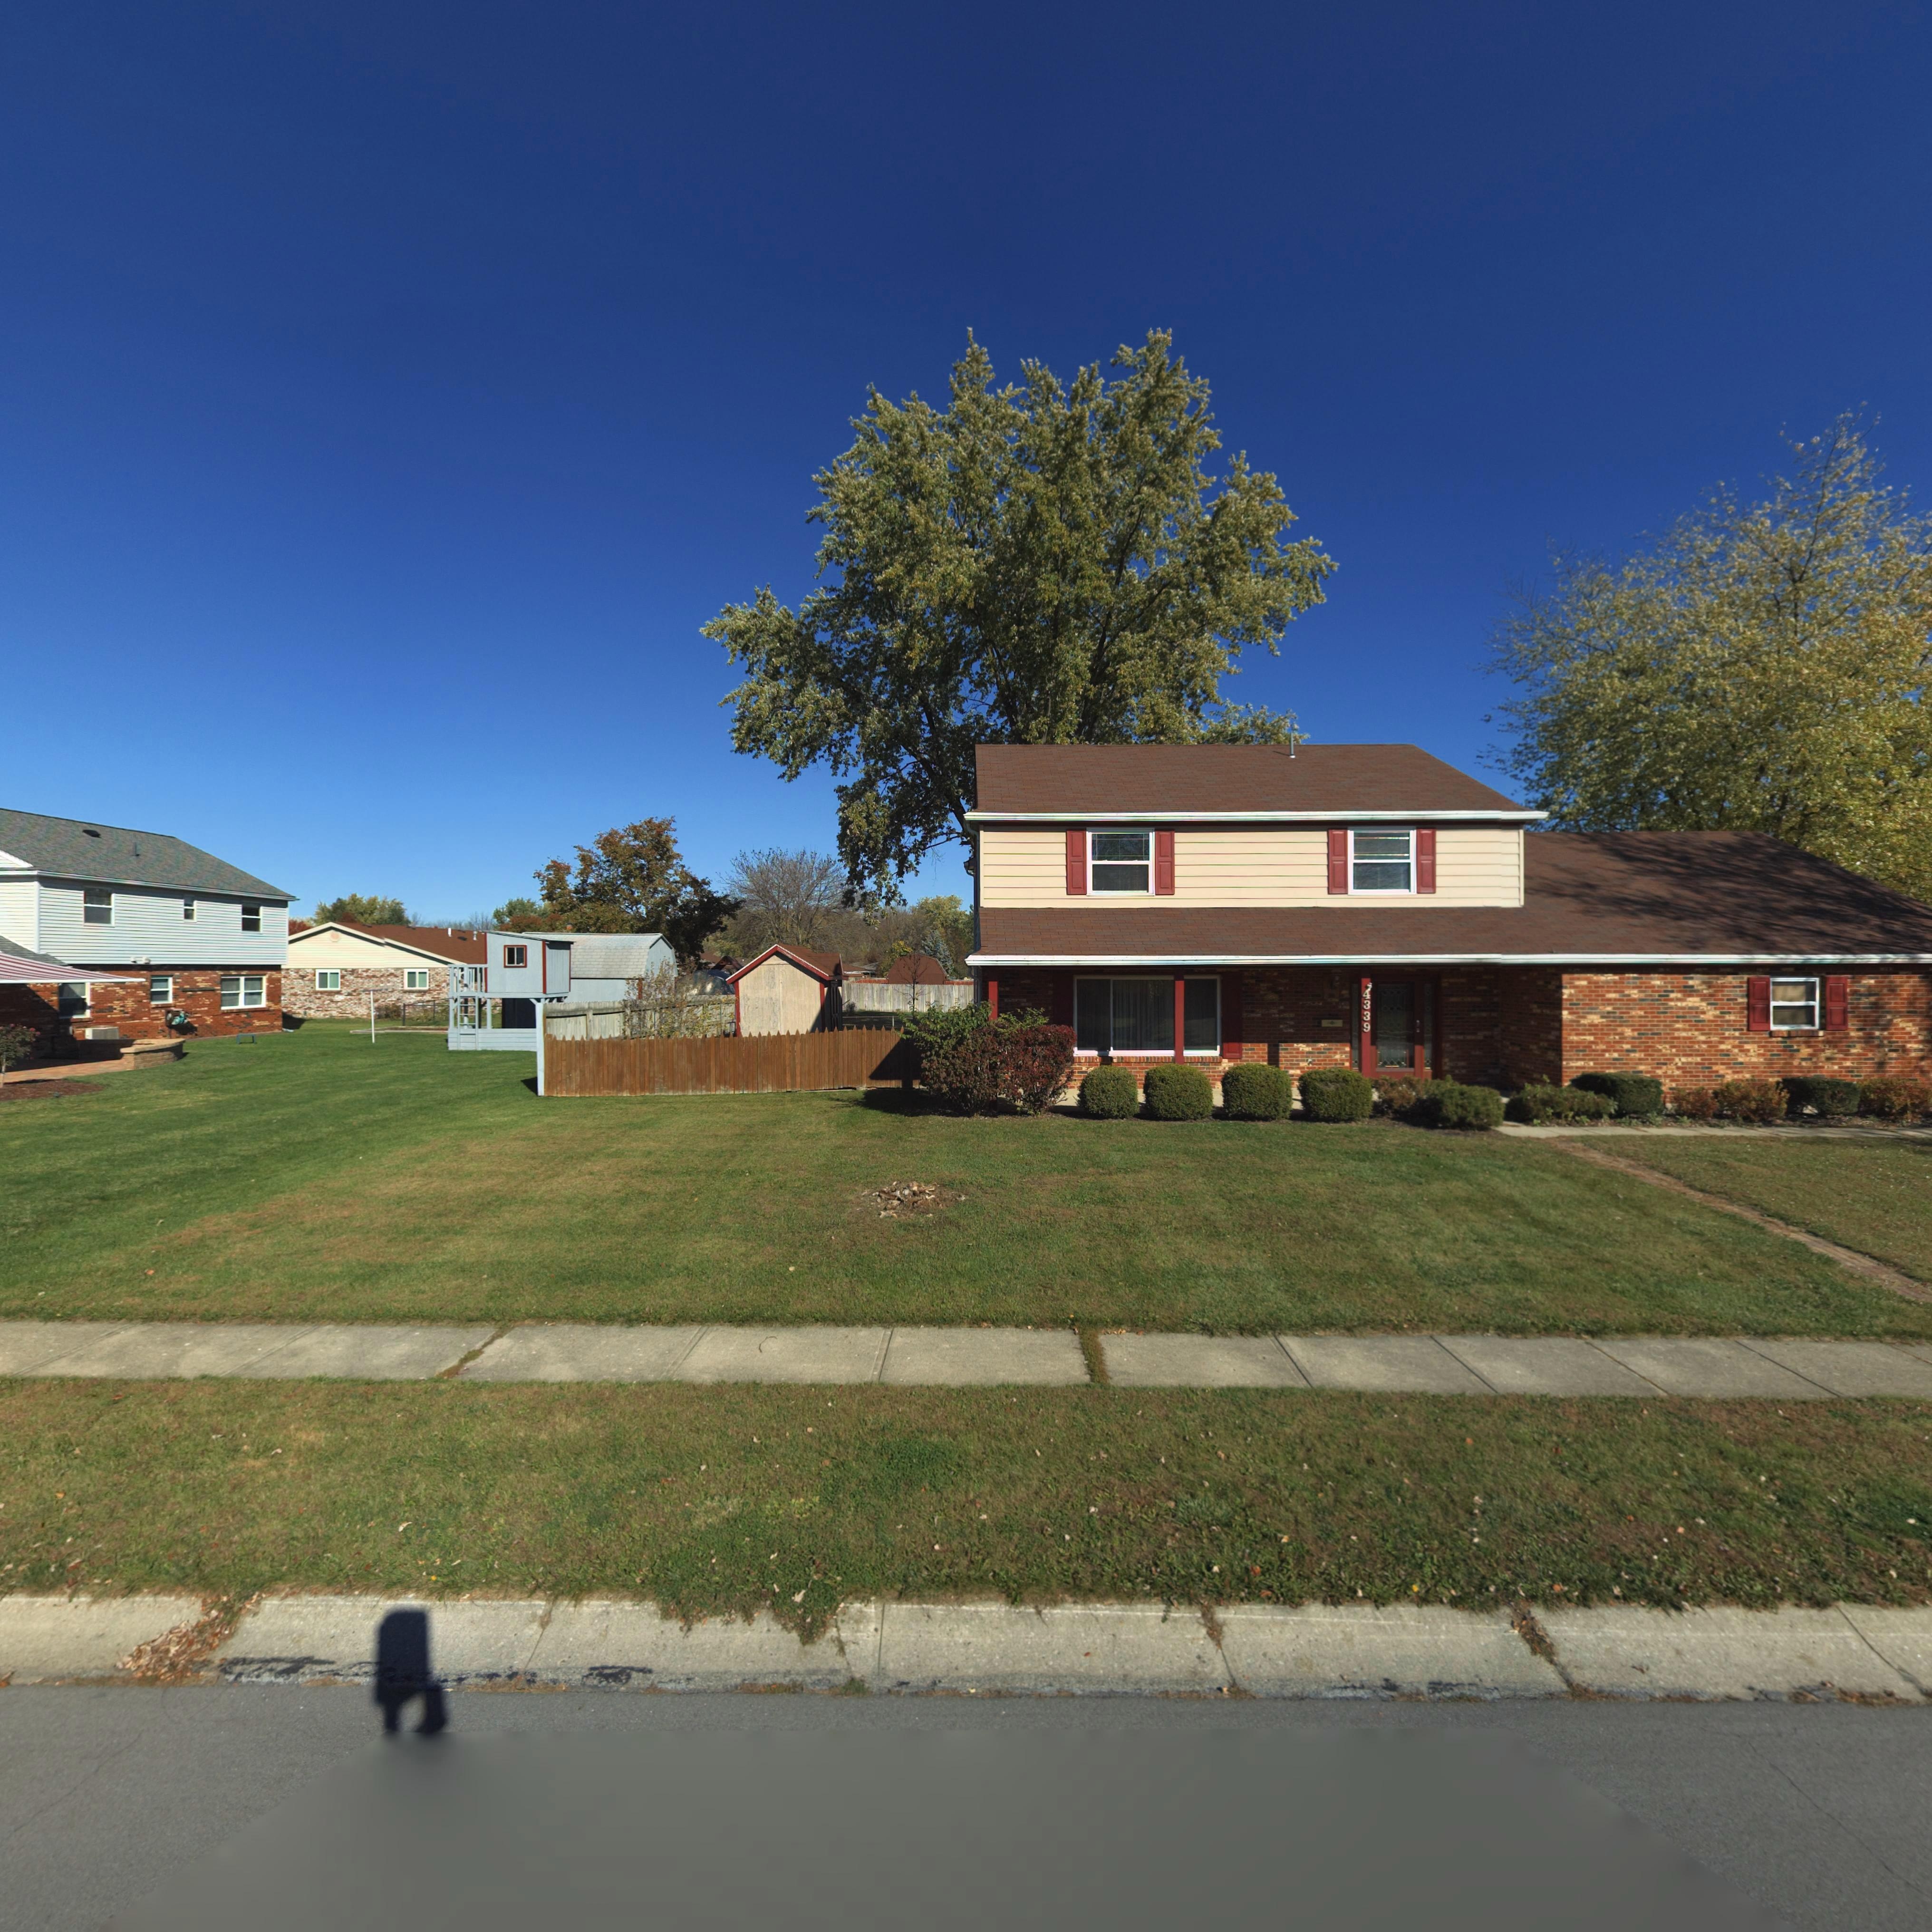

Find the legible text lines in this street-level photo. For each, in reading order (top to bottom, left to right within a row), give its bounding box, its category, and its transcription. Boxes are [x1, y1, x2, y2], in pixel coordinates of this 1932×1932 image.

[1362, 989, 1371, 1033] StreetNumber: 4339